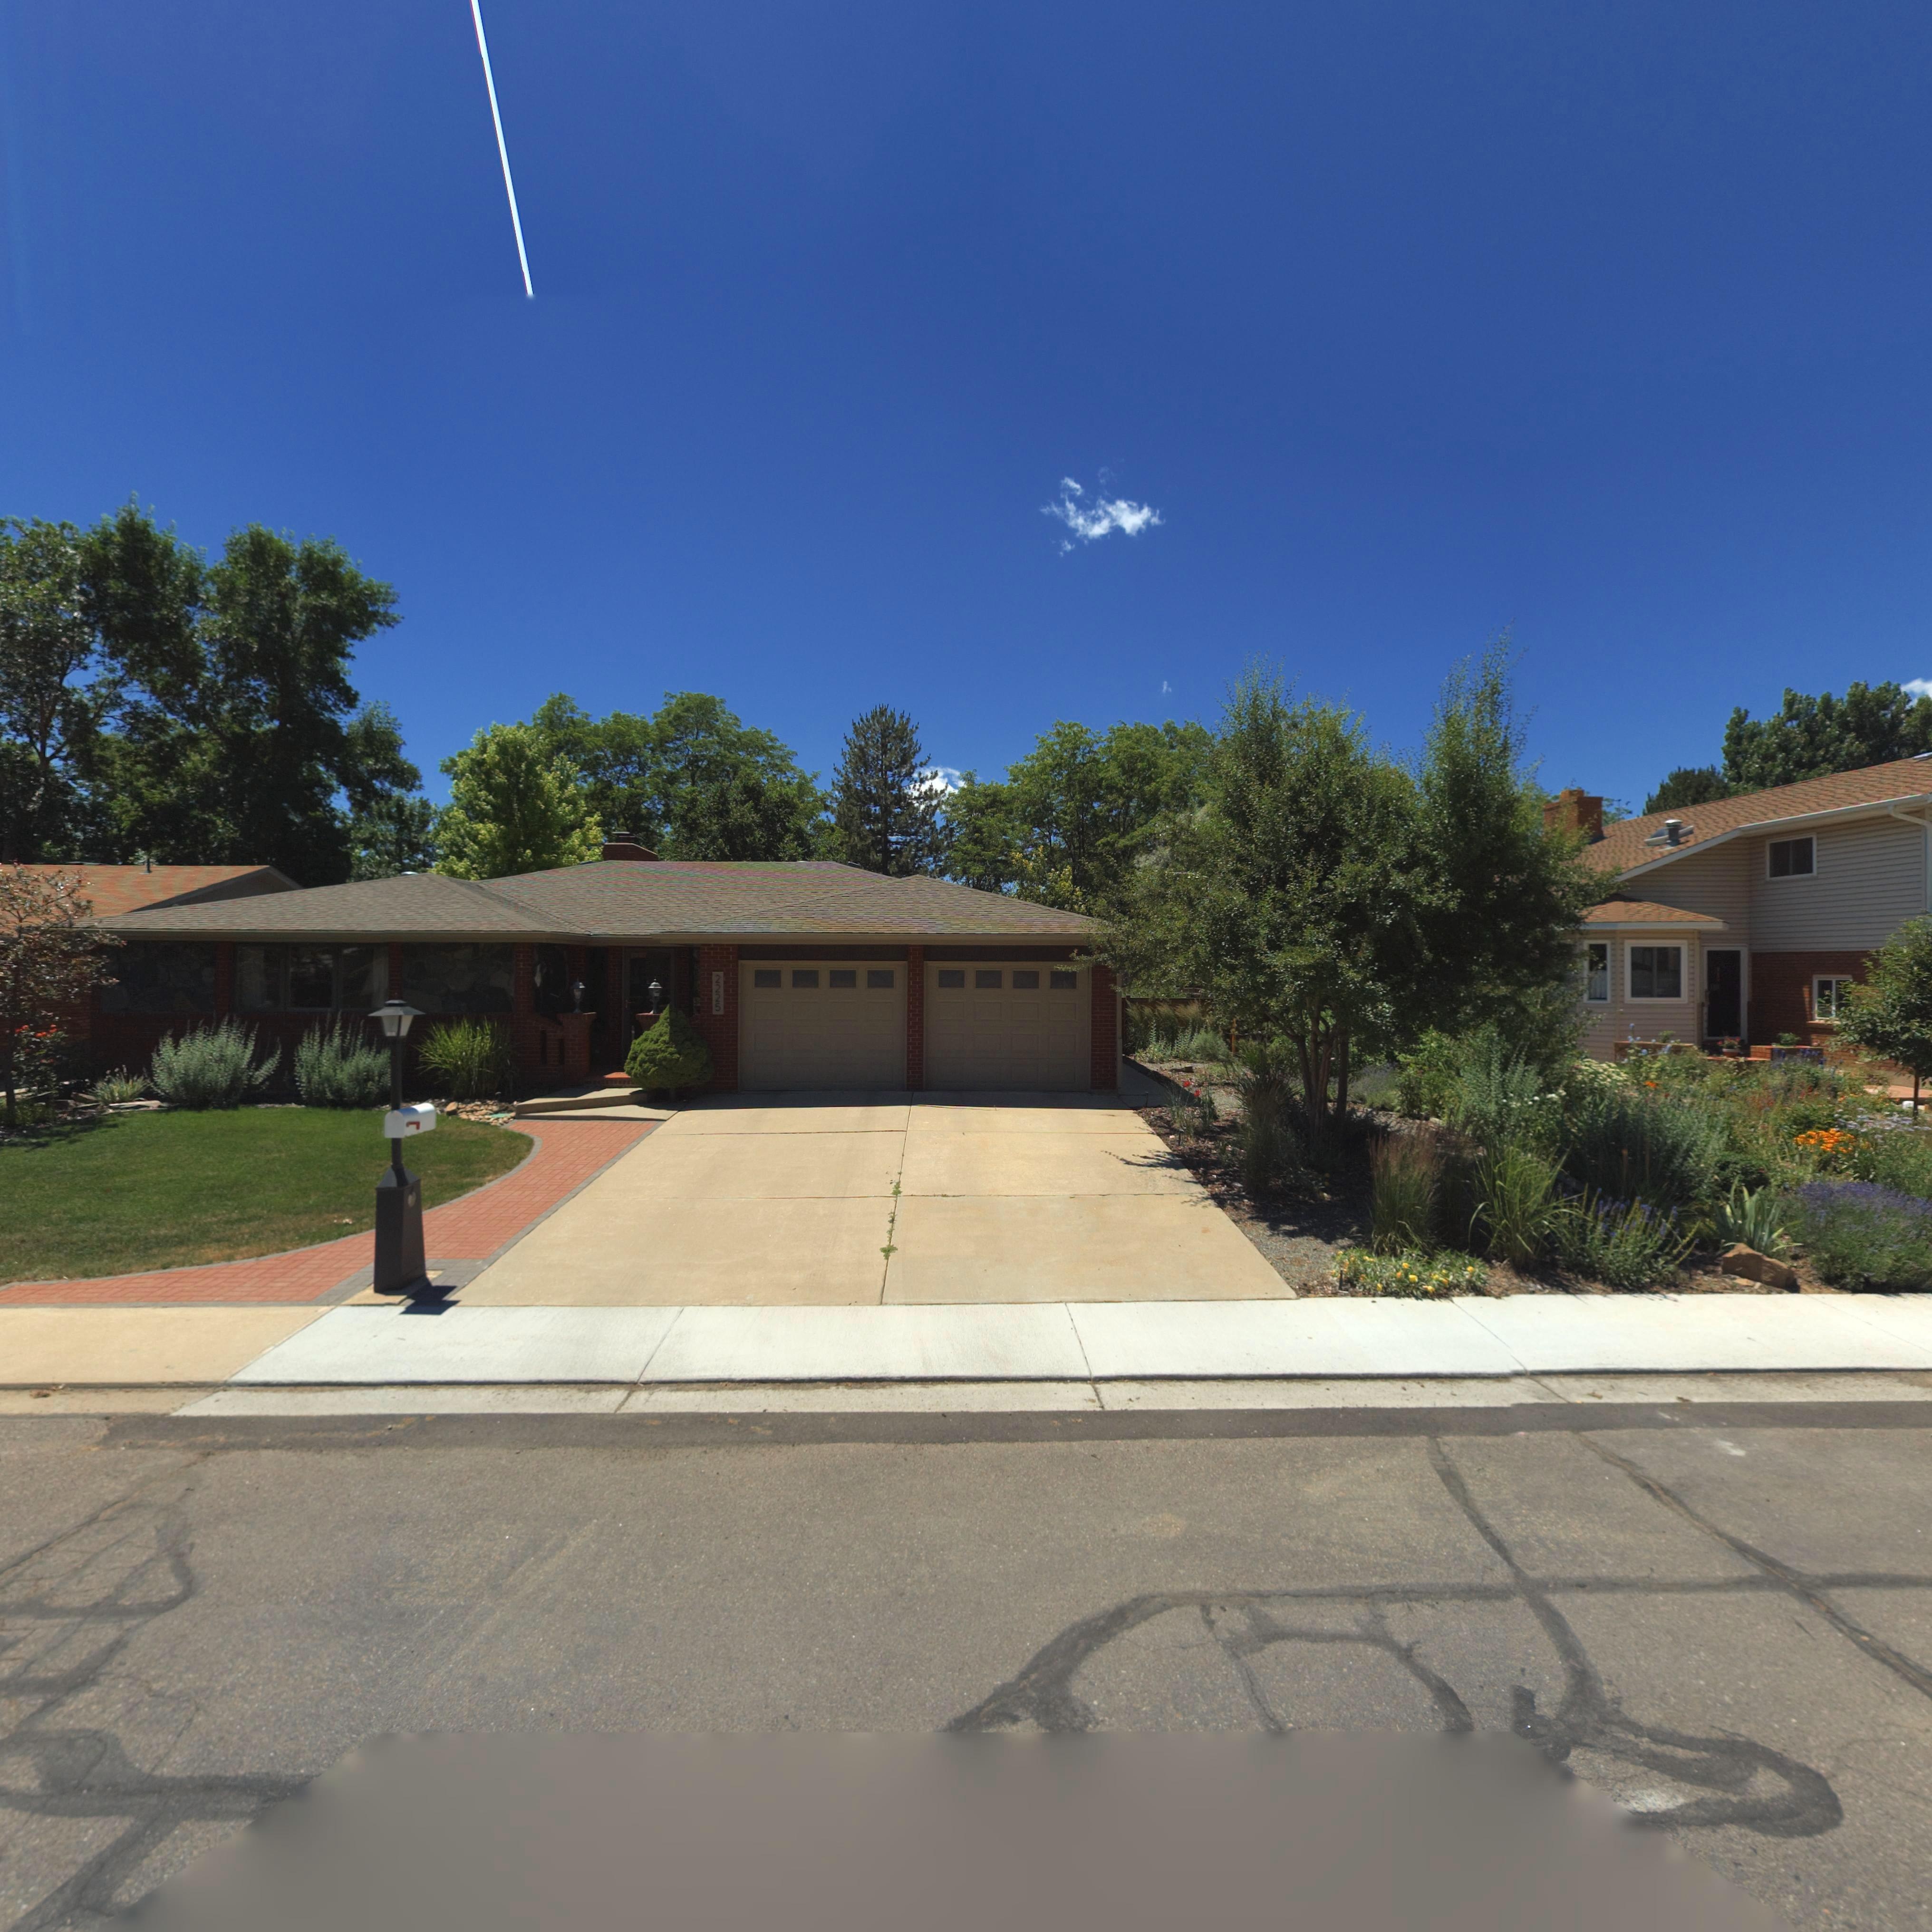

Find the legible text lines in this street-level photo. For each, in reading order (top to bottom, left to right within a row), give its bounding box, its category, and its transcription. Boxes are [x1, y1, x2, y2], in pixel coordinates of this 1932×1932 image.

[715, 974, 721, 1012] StreetNumber: 2225